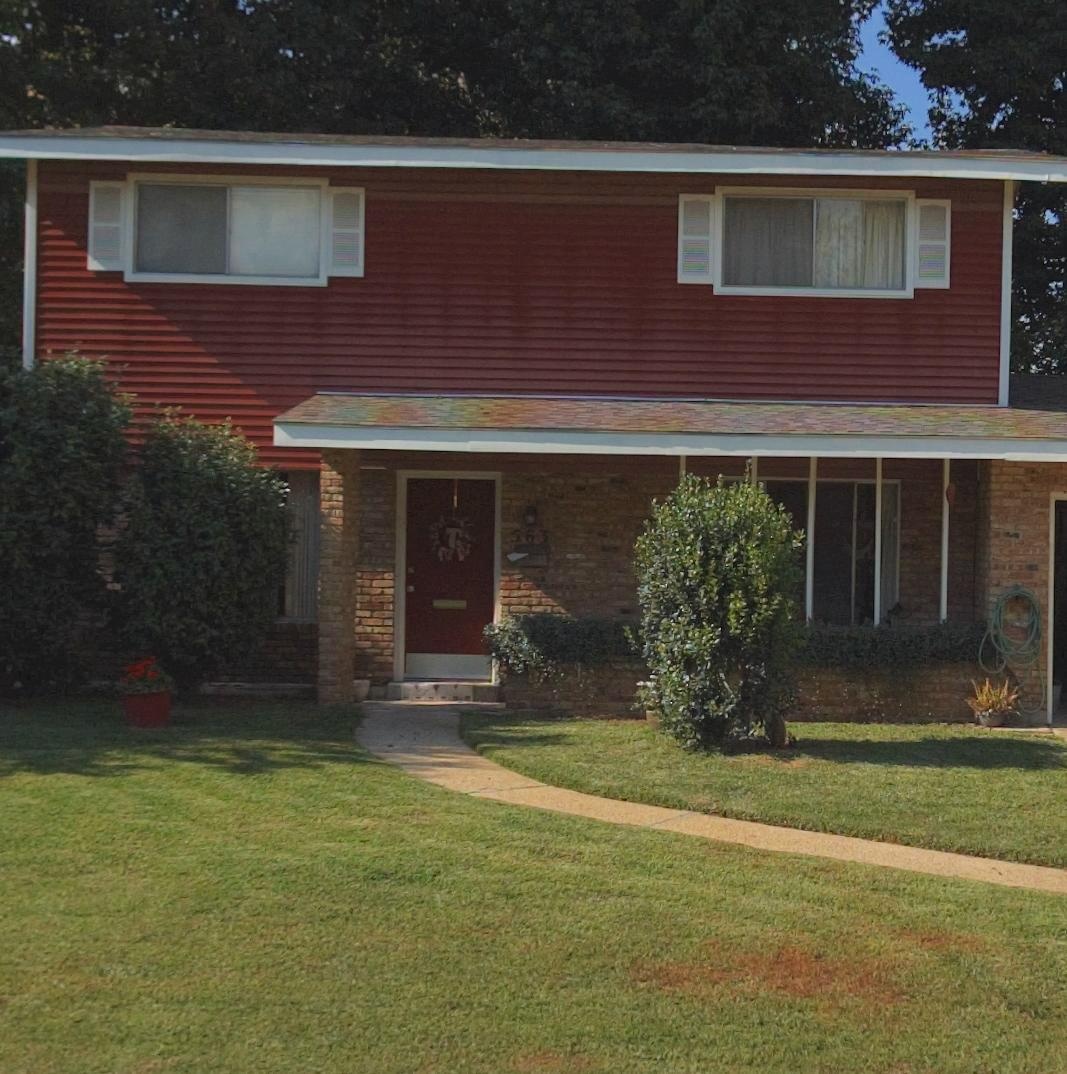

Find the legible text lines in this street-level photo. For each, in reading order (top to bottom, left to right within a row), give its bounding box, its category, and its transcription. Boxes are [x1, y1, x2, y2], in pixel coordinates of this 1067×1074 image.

[510, 529, 549, 543] StreetNumber: 563